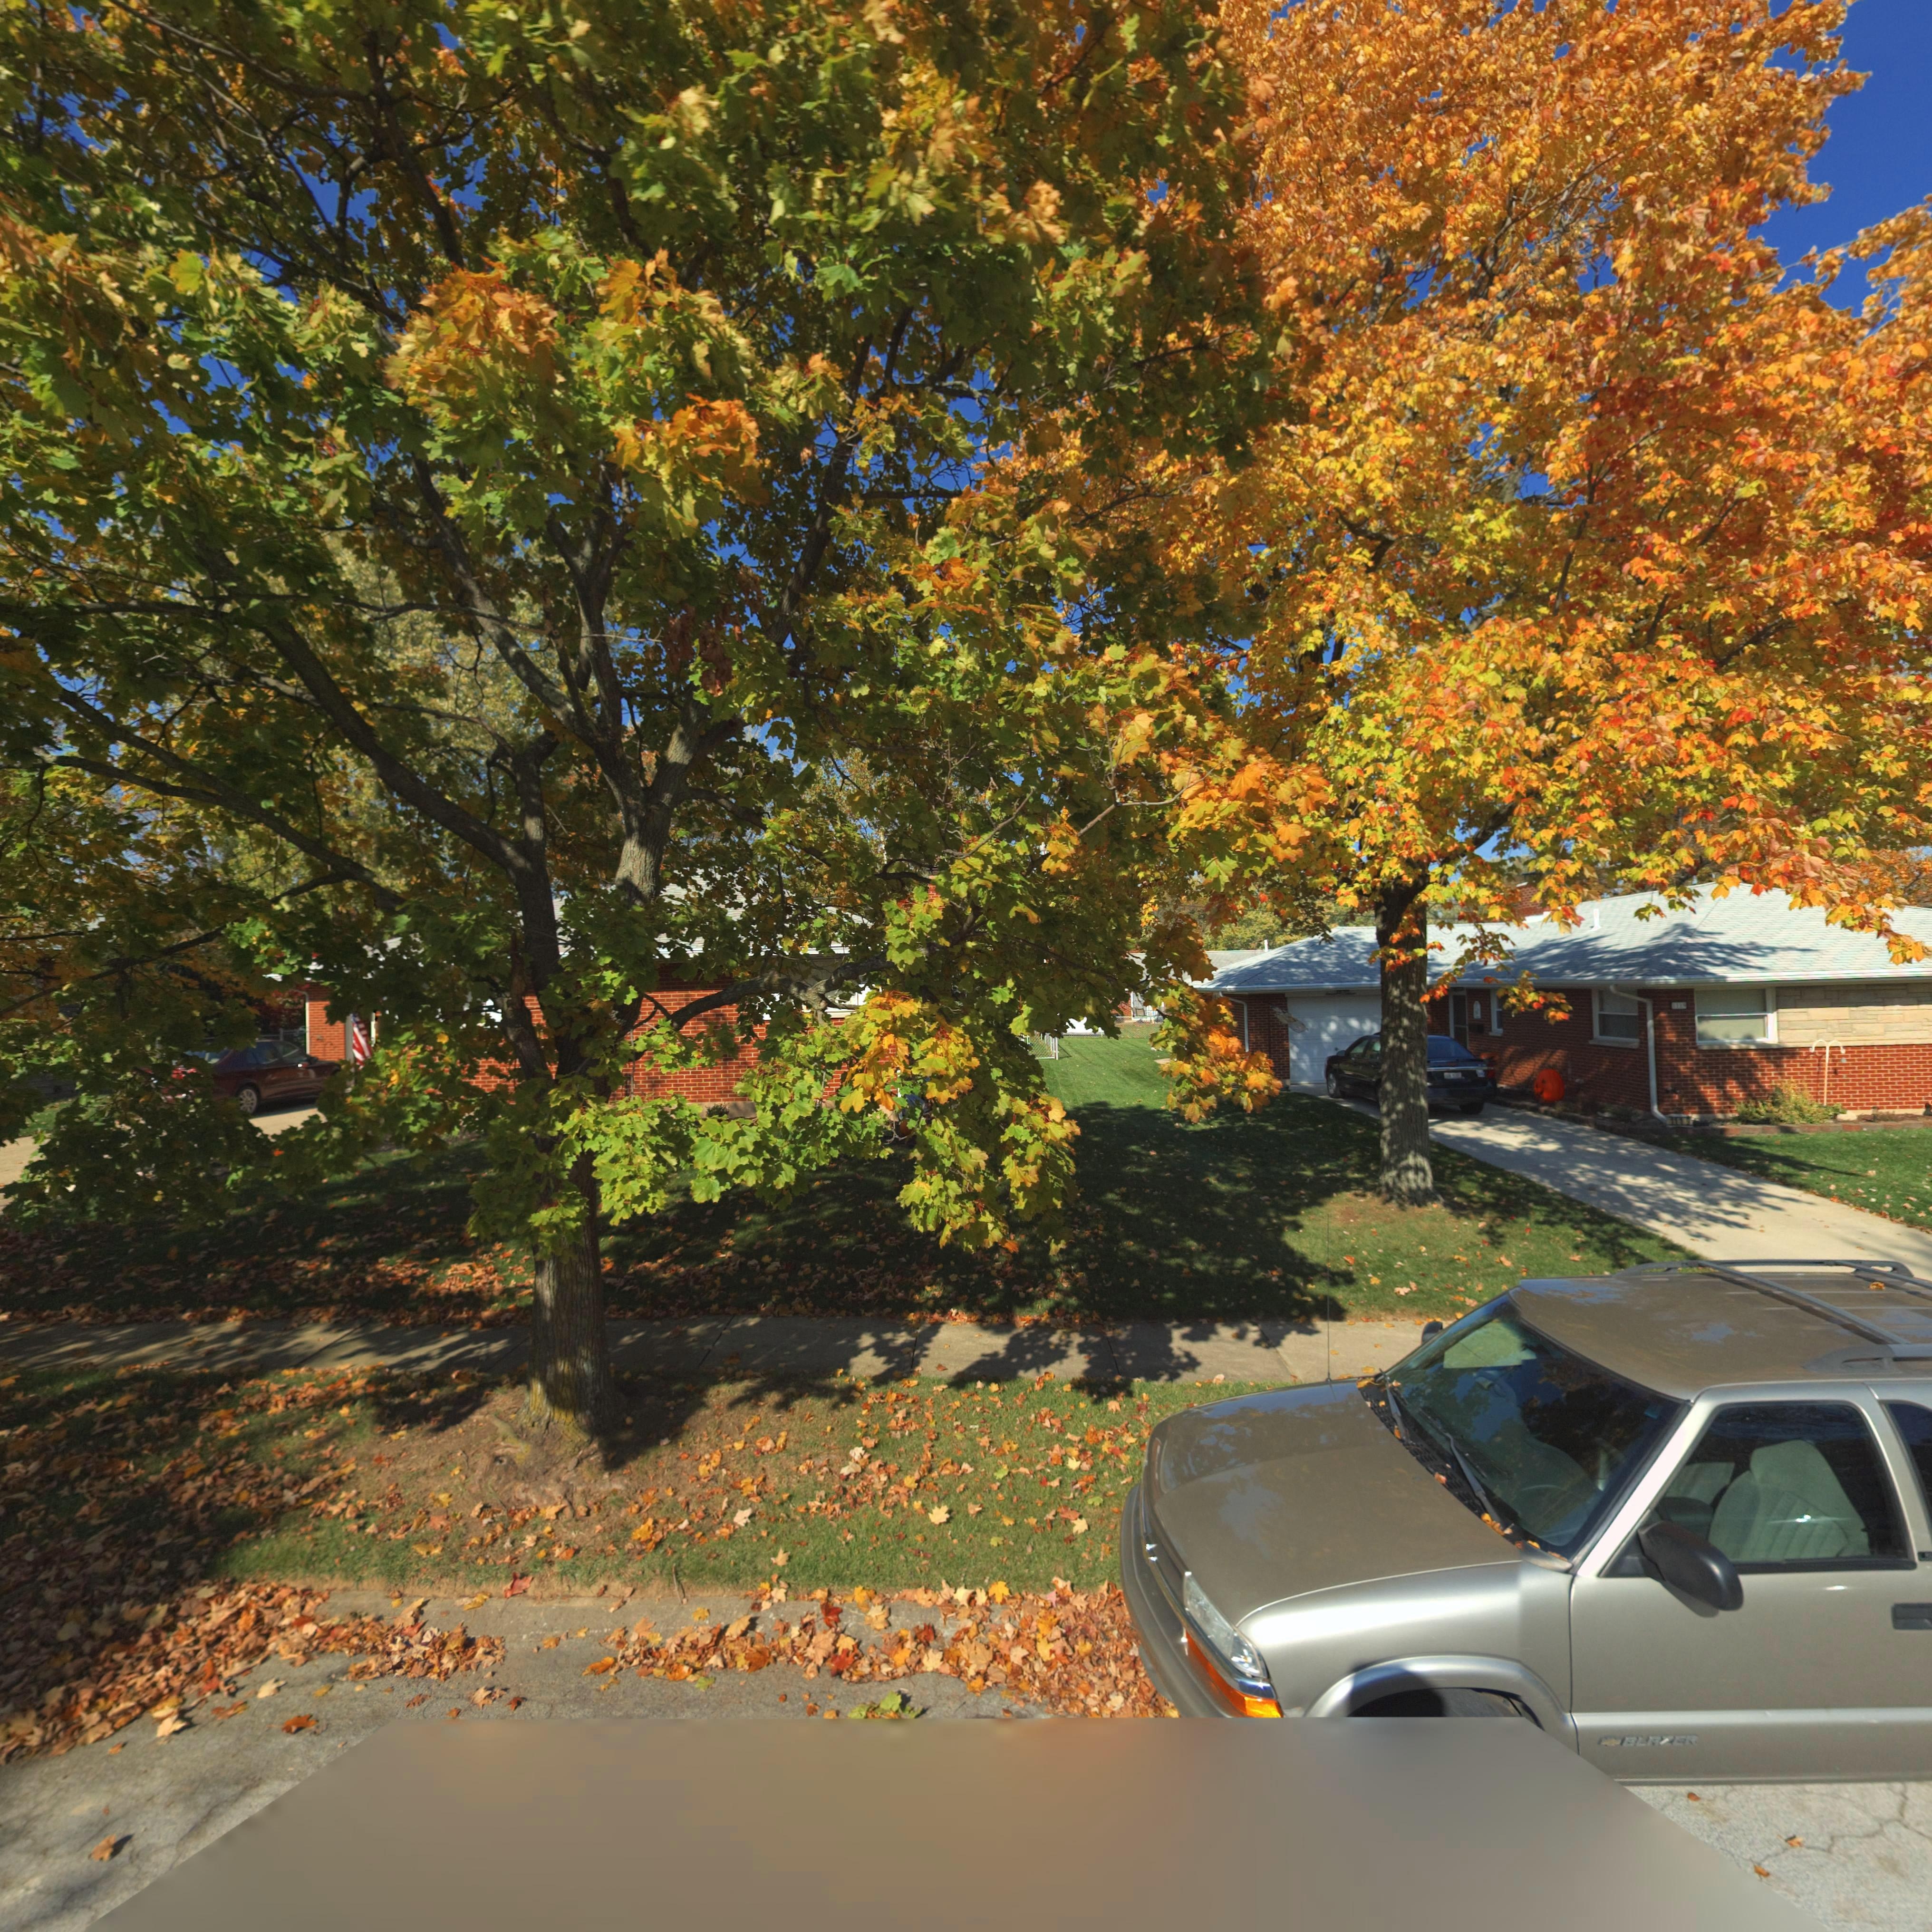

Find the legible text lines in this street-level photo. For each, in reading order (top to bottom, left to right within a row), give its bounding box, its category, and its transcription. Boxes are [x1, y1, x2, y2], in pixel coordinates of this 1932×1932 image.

[1670, 1002, 1688, 1010] StreetNumber: *1**
[1670, 1116, 1691, 1126] StreetNumber: 1119